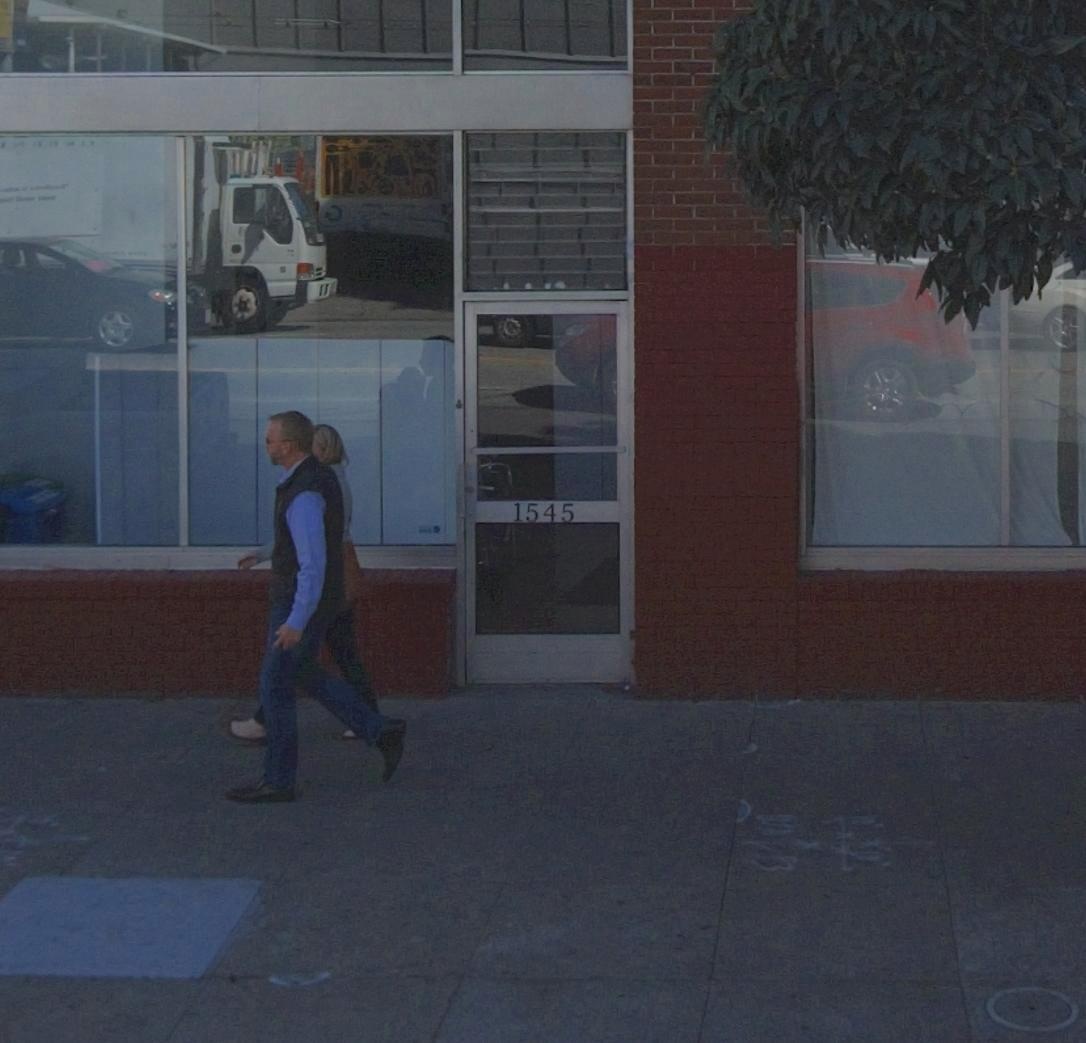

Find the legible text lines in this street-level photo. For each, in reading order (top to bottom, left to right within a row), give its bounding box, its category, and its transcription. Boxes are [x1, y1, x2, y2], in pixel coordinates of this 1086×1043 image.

[511, 501, 580, 527] StreetNumber: 1545